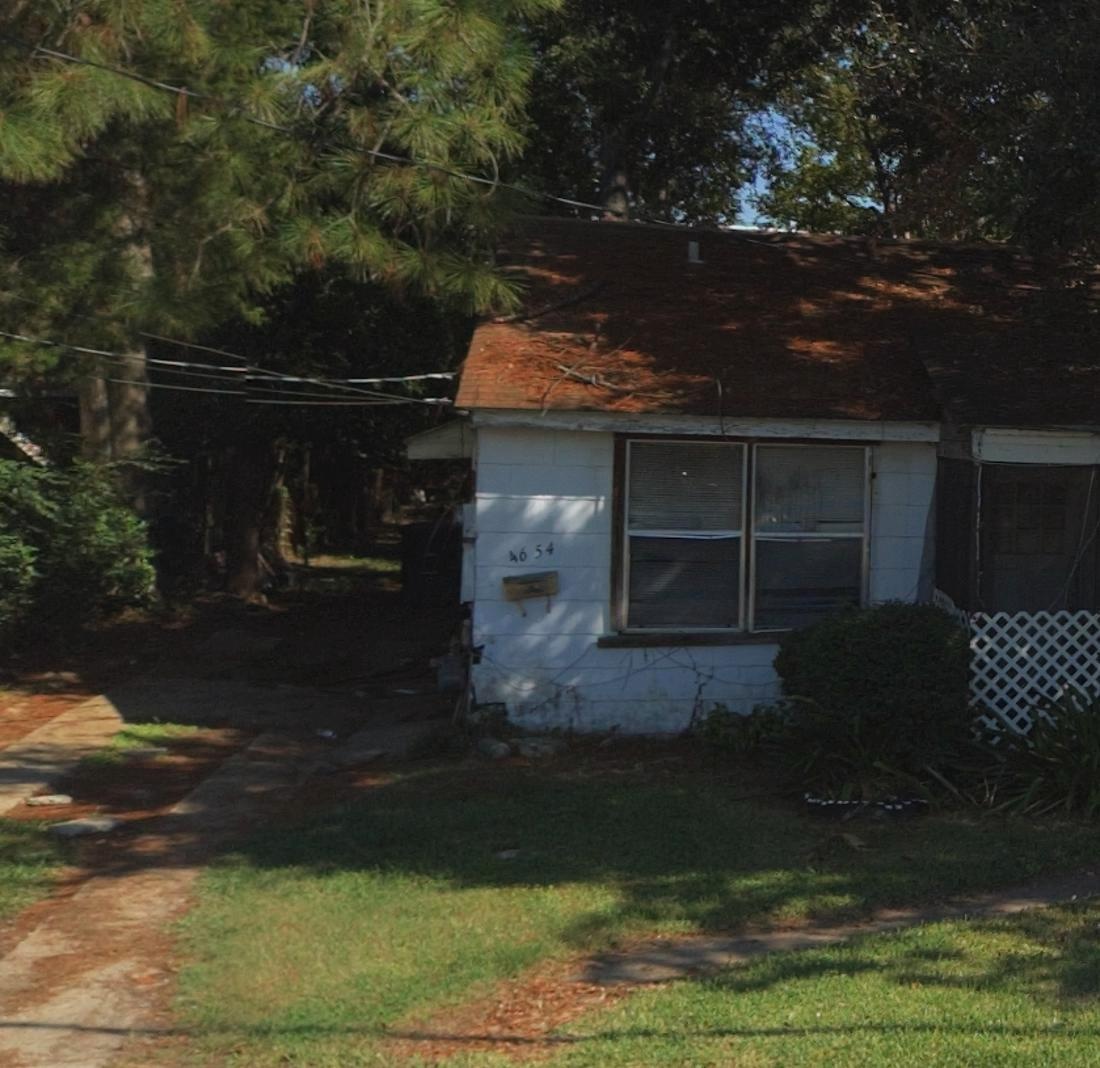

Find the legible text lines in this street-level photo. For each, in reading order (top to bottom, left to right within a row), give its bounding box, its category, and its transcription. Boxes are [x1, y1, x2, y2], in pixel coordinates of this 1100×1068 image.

[508, 540, 554, 565] StreetNumber: 4654